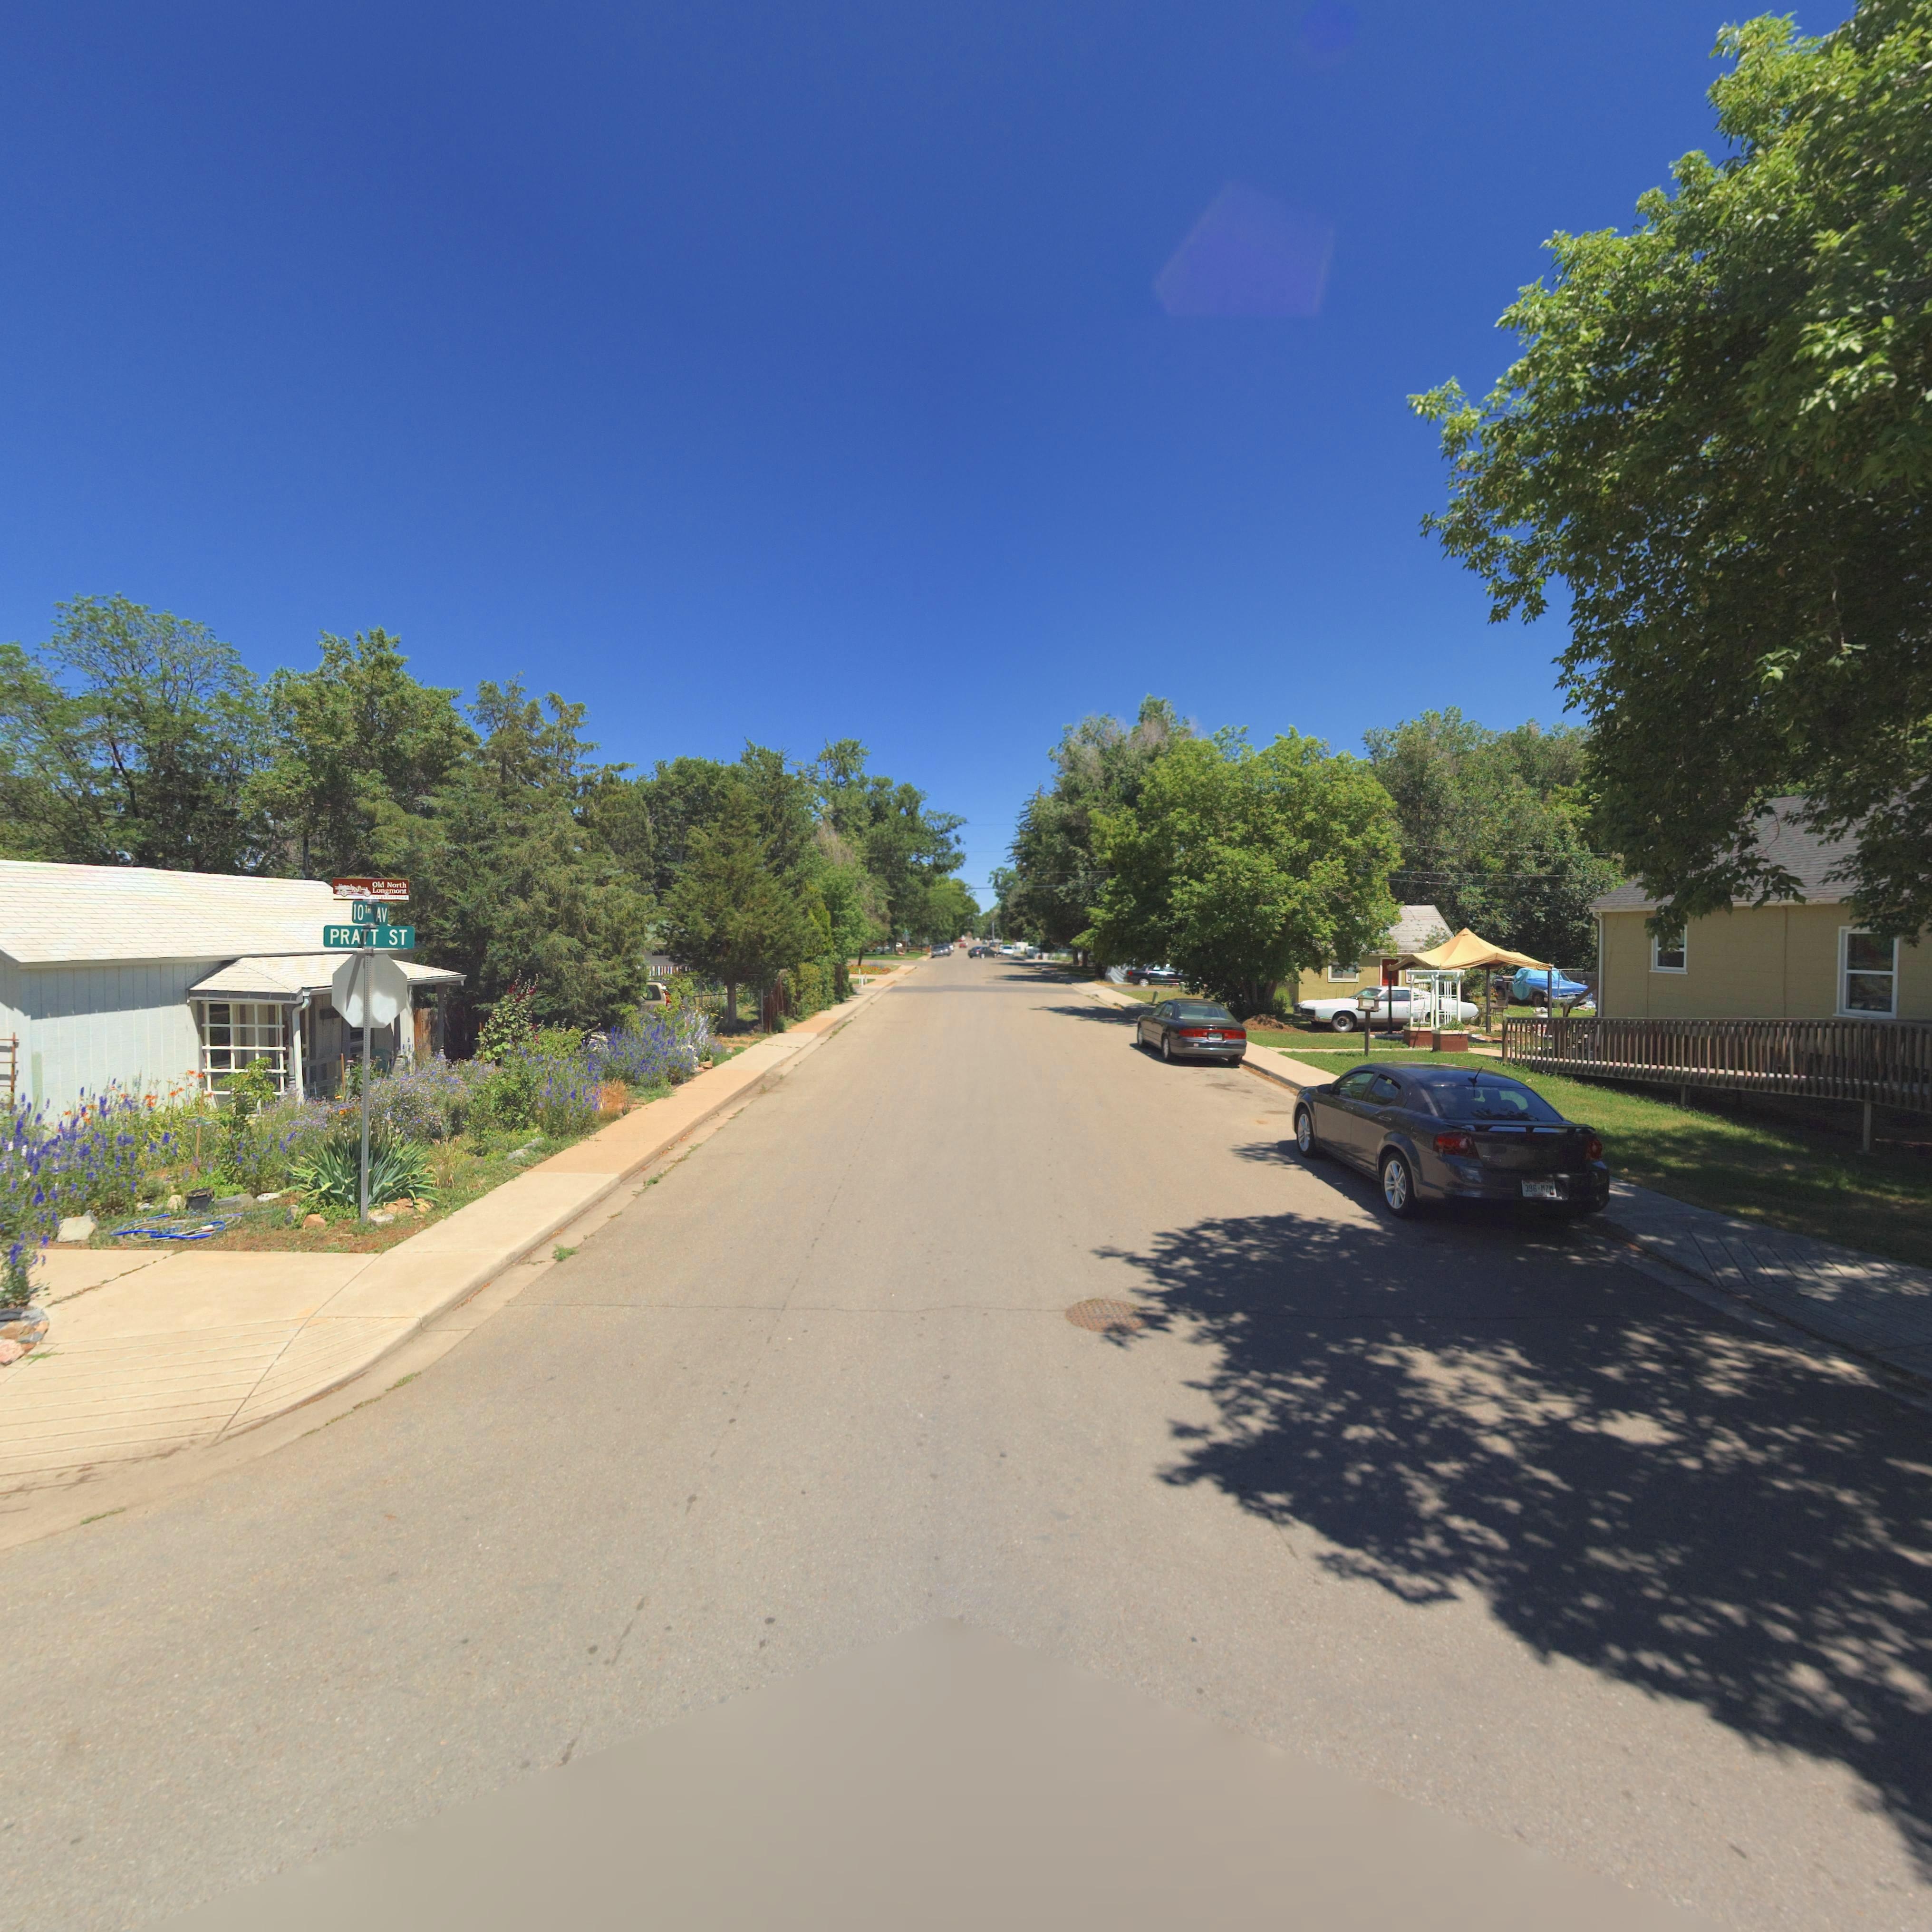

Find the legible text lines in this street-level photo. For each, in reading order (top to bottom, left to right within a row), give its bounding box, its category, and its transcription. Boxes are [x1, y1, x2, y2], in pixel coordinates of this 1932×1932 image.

[353, 903, 387, 923] StreetName: 10TH AV
[329, 927, 407, 945] StreetName: PRATT ST